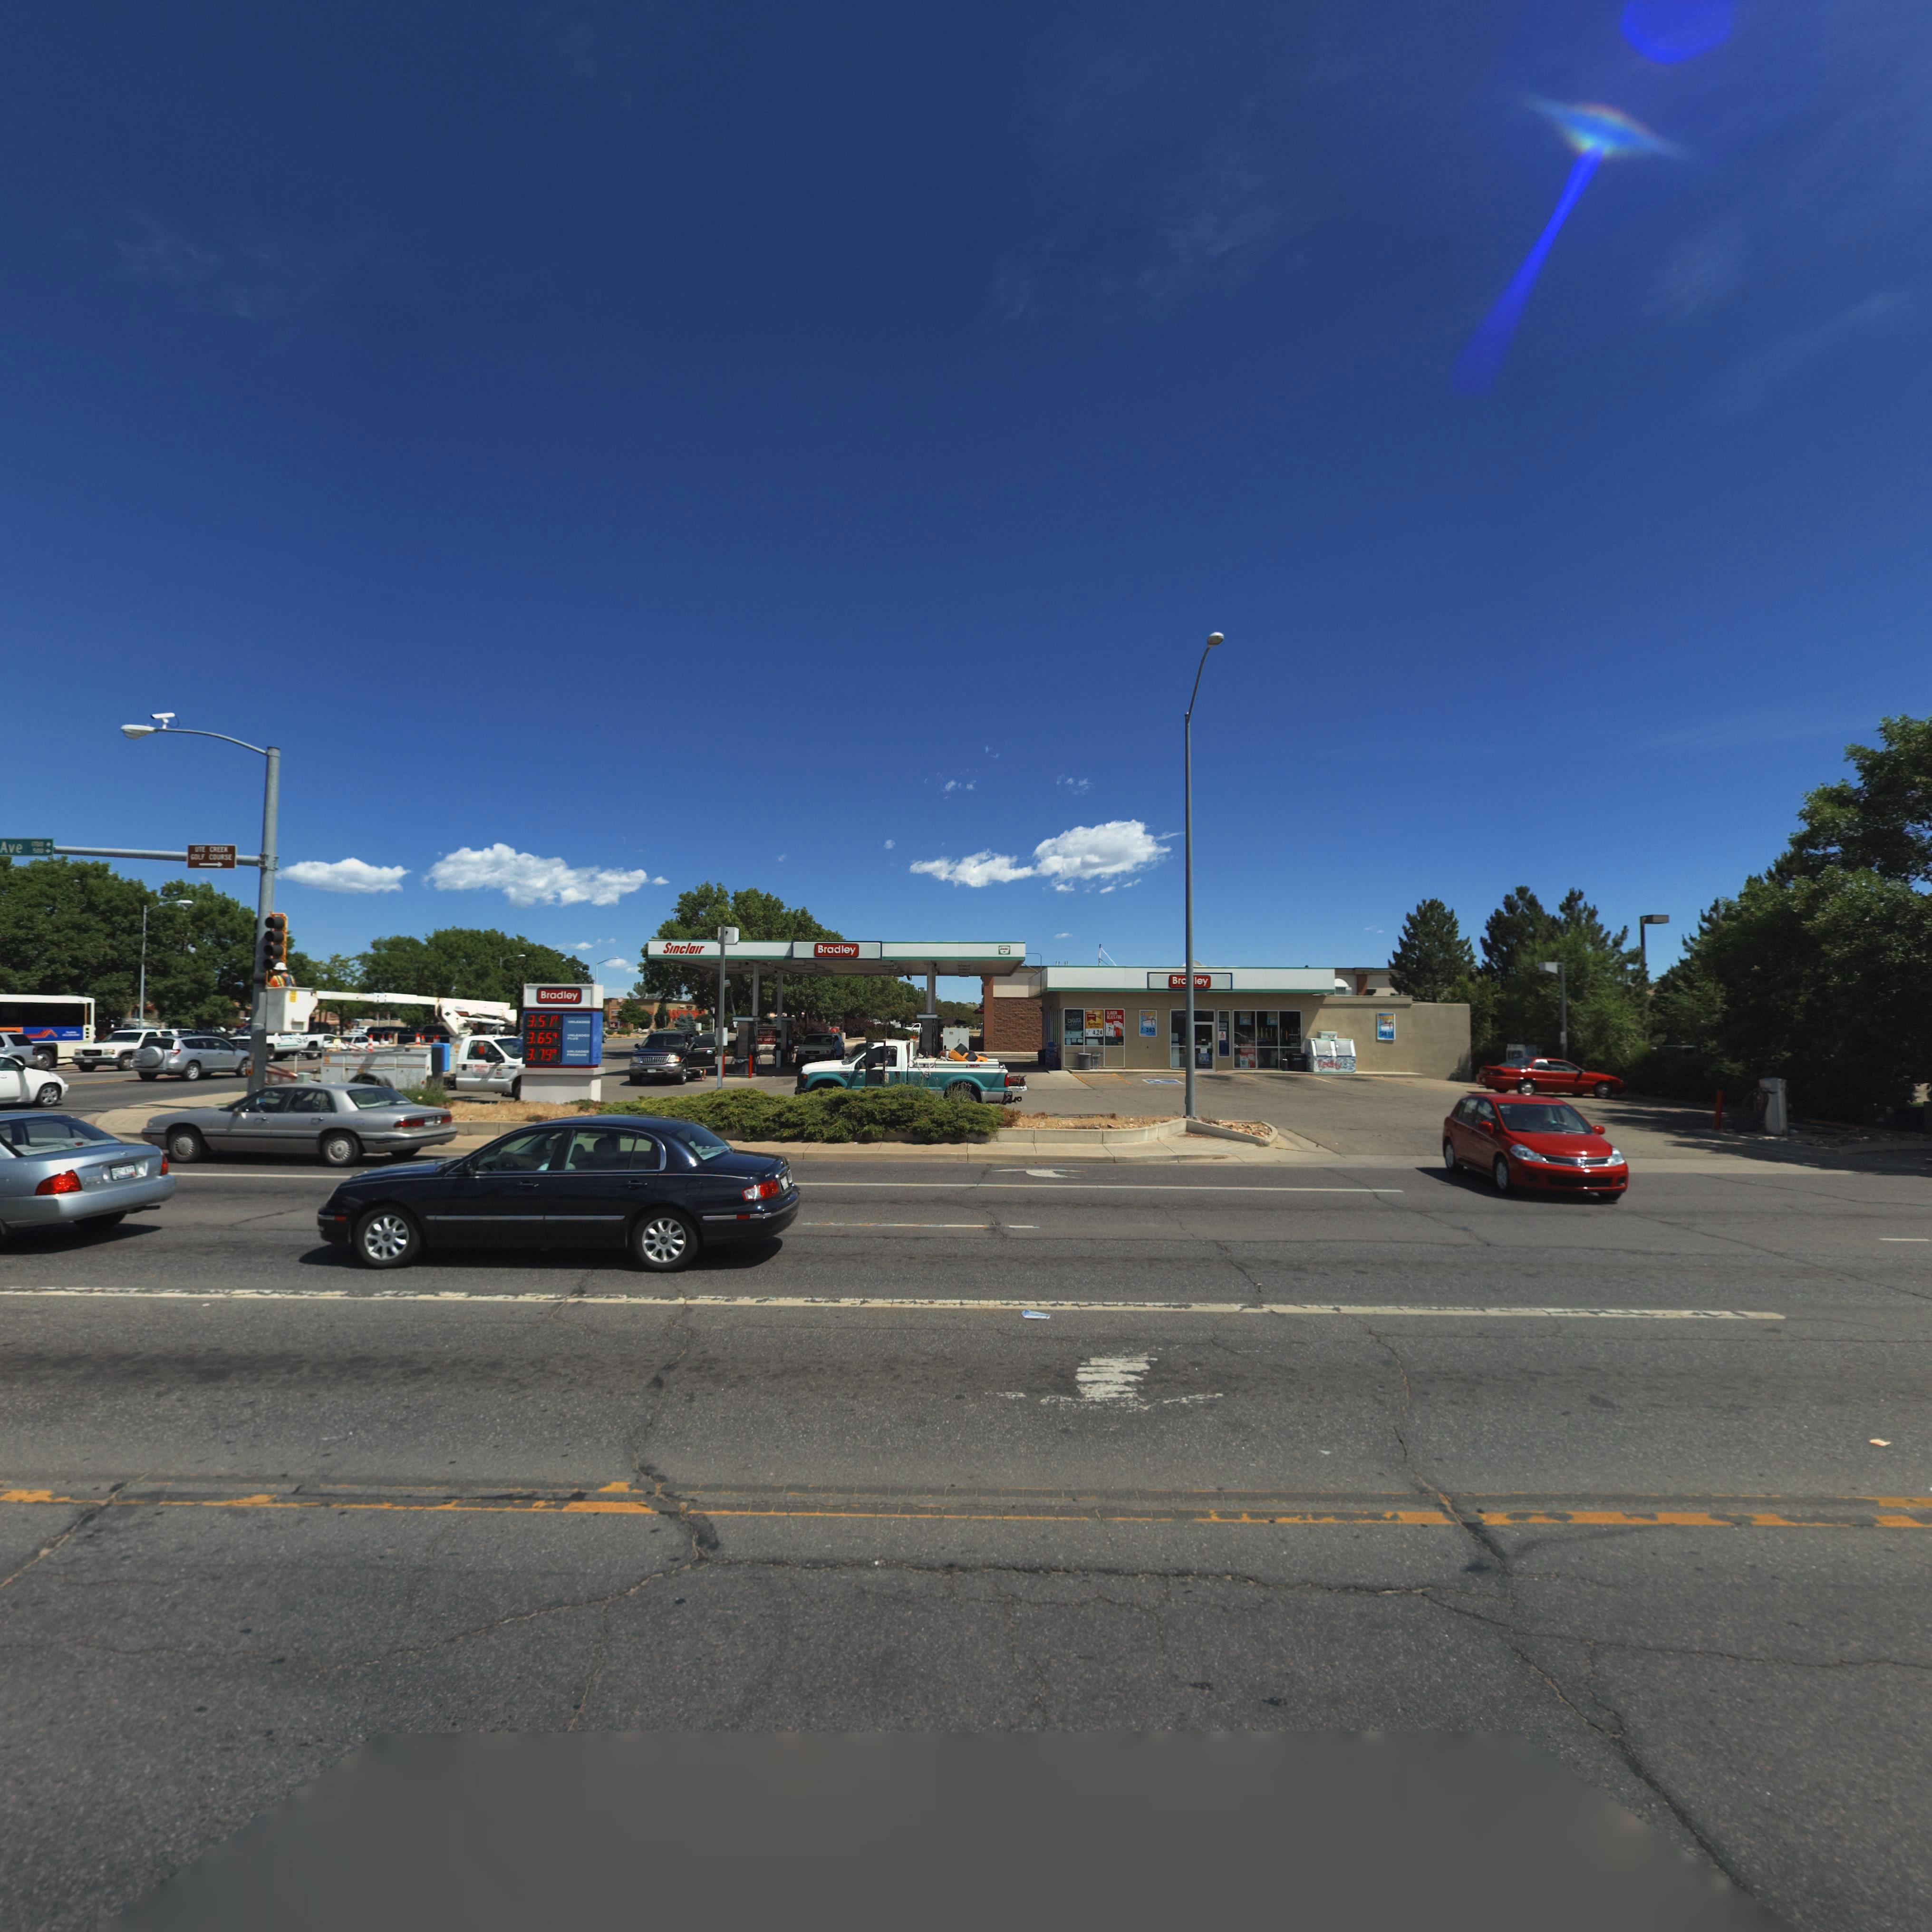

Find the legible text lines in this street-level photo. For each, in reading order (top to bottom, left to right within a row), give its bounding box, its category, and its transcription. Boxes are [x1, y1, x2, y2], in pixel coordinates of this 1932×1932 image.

[0, 840, 23, 854] StreetName: Ave
[31, 840, 44, 847] StreetNumberRange: 2**0
[32, 847, 51, 854] StreetNumberRange: 500->
[663, 942, 705, 954] BusinessName: Sinclair
[817, 944, 856, 955] BusinessName: Bradley
[1172, 976, 1209, 986] BusinessName: Br**ley
[541, 990, 578, 1001] BusinessName: Bradley
[757, 1029, 773, 1035] BusinessName: *hip****
[757, 1037, 776, 1041] BusinessName: VE G*YS